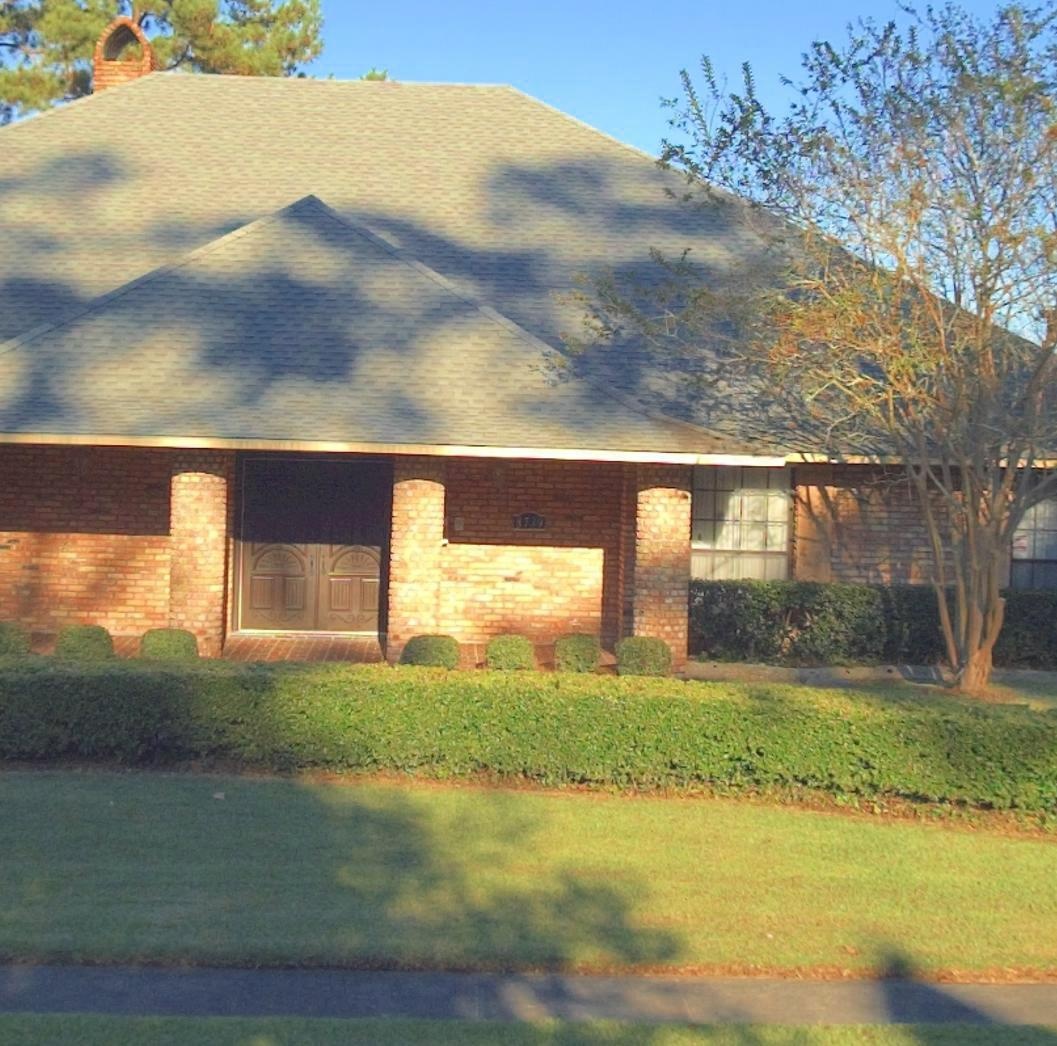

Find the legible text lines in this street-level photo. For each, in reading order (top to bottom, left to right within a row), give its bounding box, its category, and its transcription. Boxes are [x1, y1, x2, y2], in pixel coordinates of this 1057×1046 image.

[515, 515, 545, 529] StreetNumber: 8739